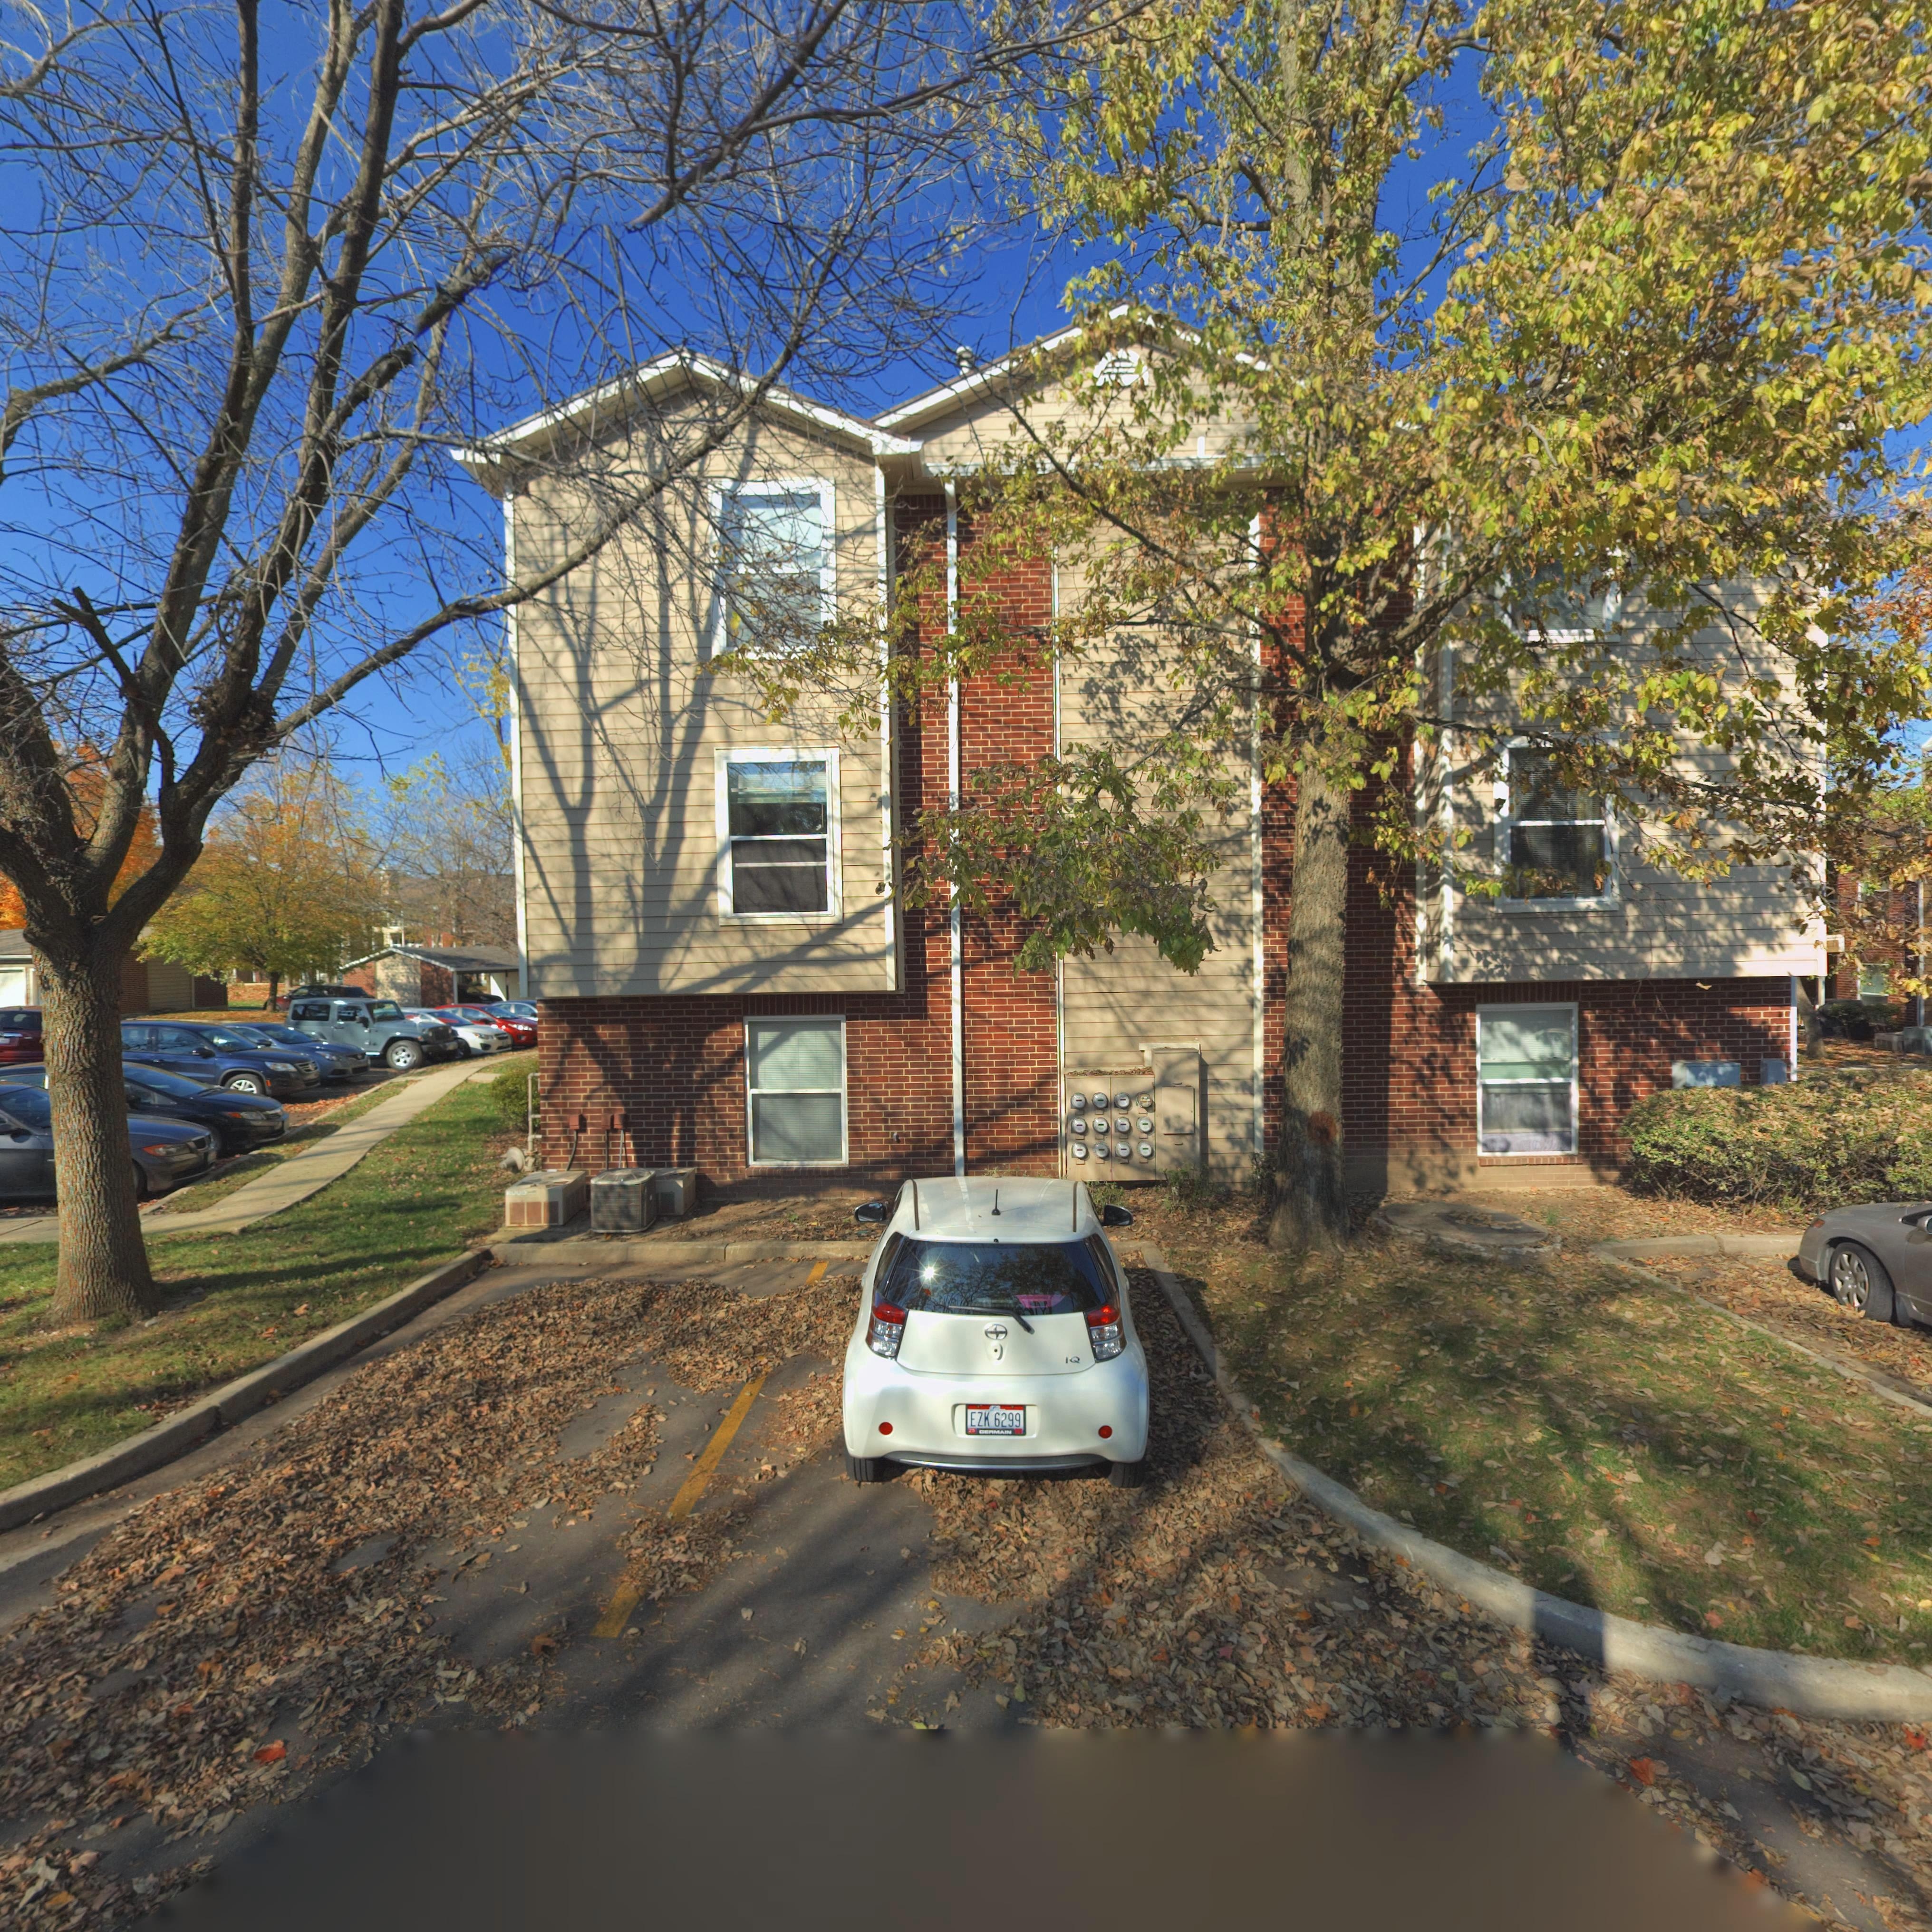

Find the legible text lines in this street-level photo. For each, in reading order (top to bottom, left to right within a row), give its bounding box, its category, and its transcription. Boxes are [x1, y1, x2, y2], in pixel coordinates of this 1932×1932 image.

[1065, 1355, 1081, 1364] None: IQ
[970, 1412, 1021, 1428] None: EZK*6299
[968, 1428, 976, 1433] None: 25
[978, 1429, 1012, 1435] None: GERMAIN